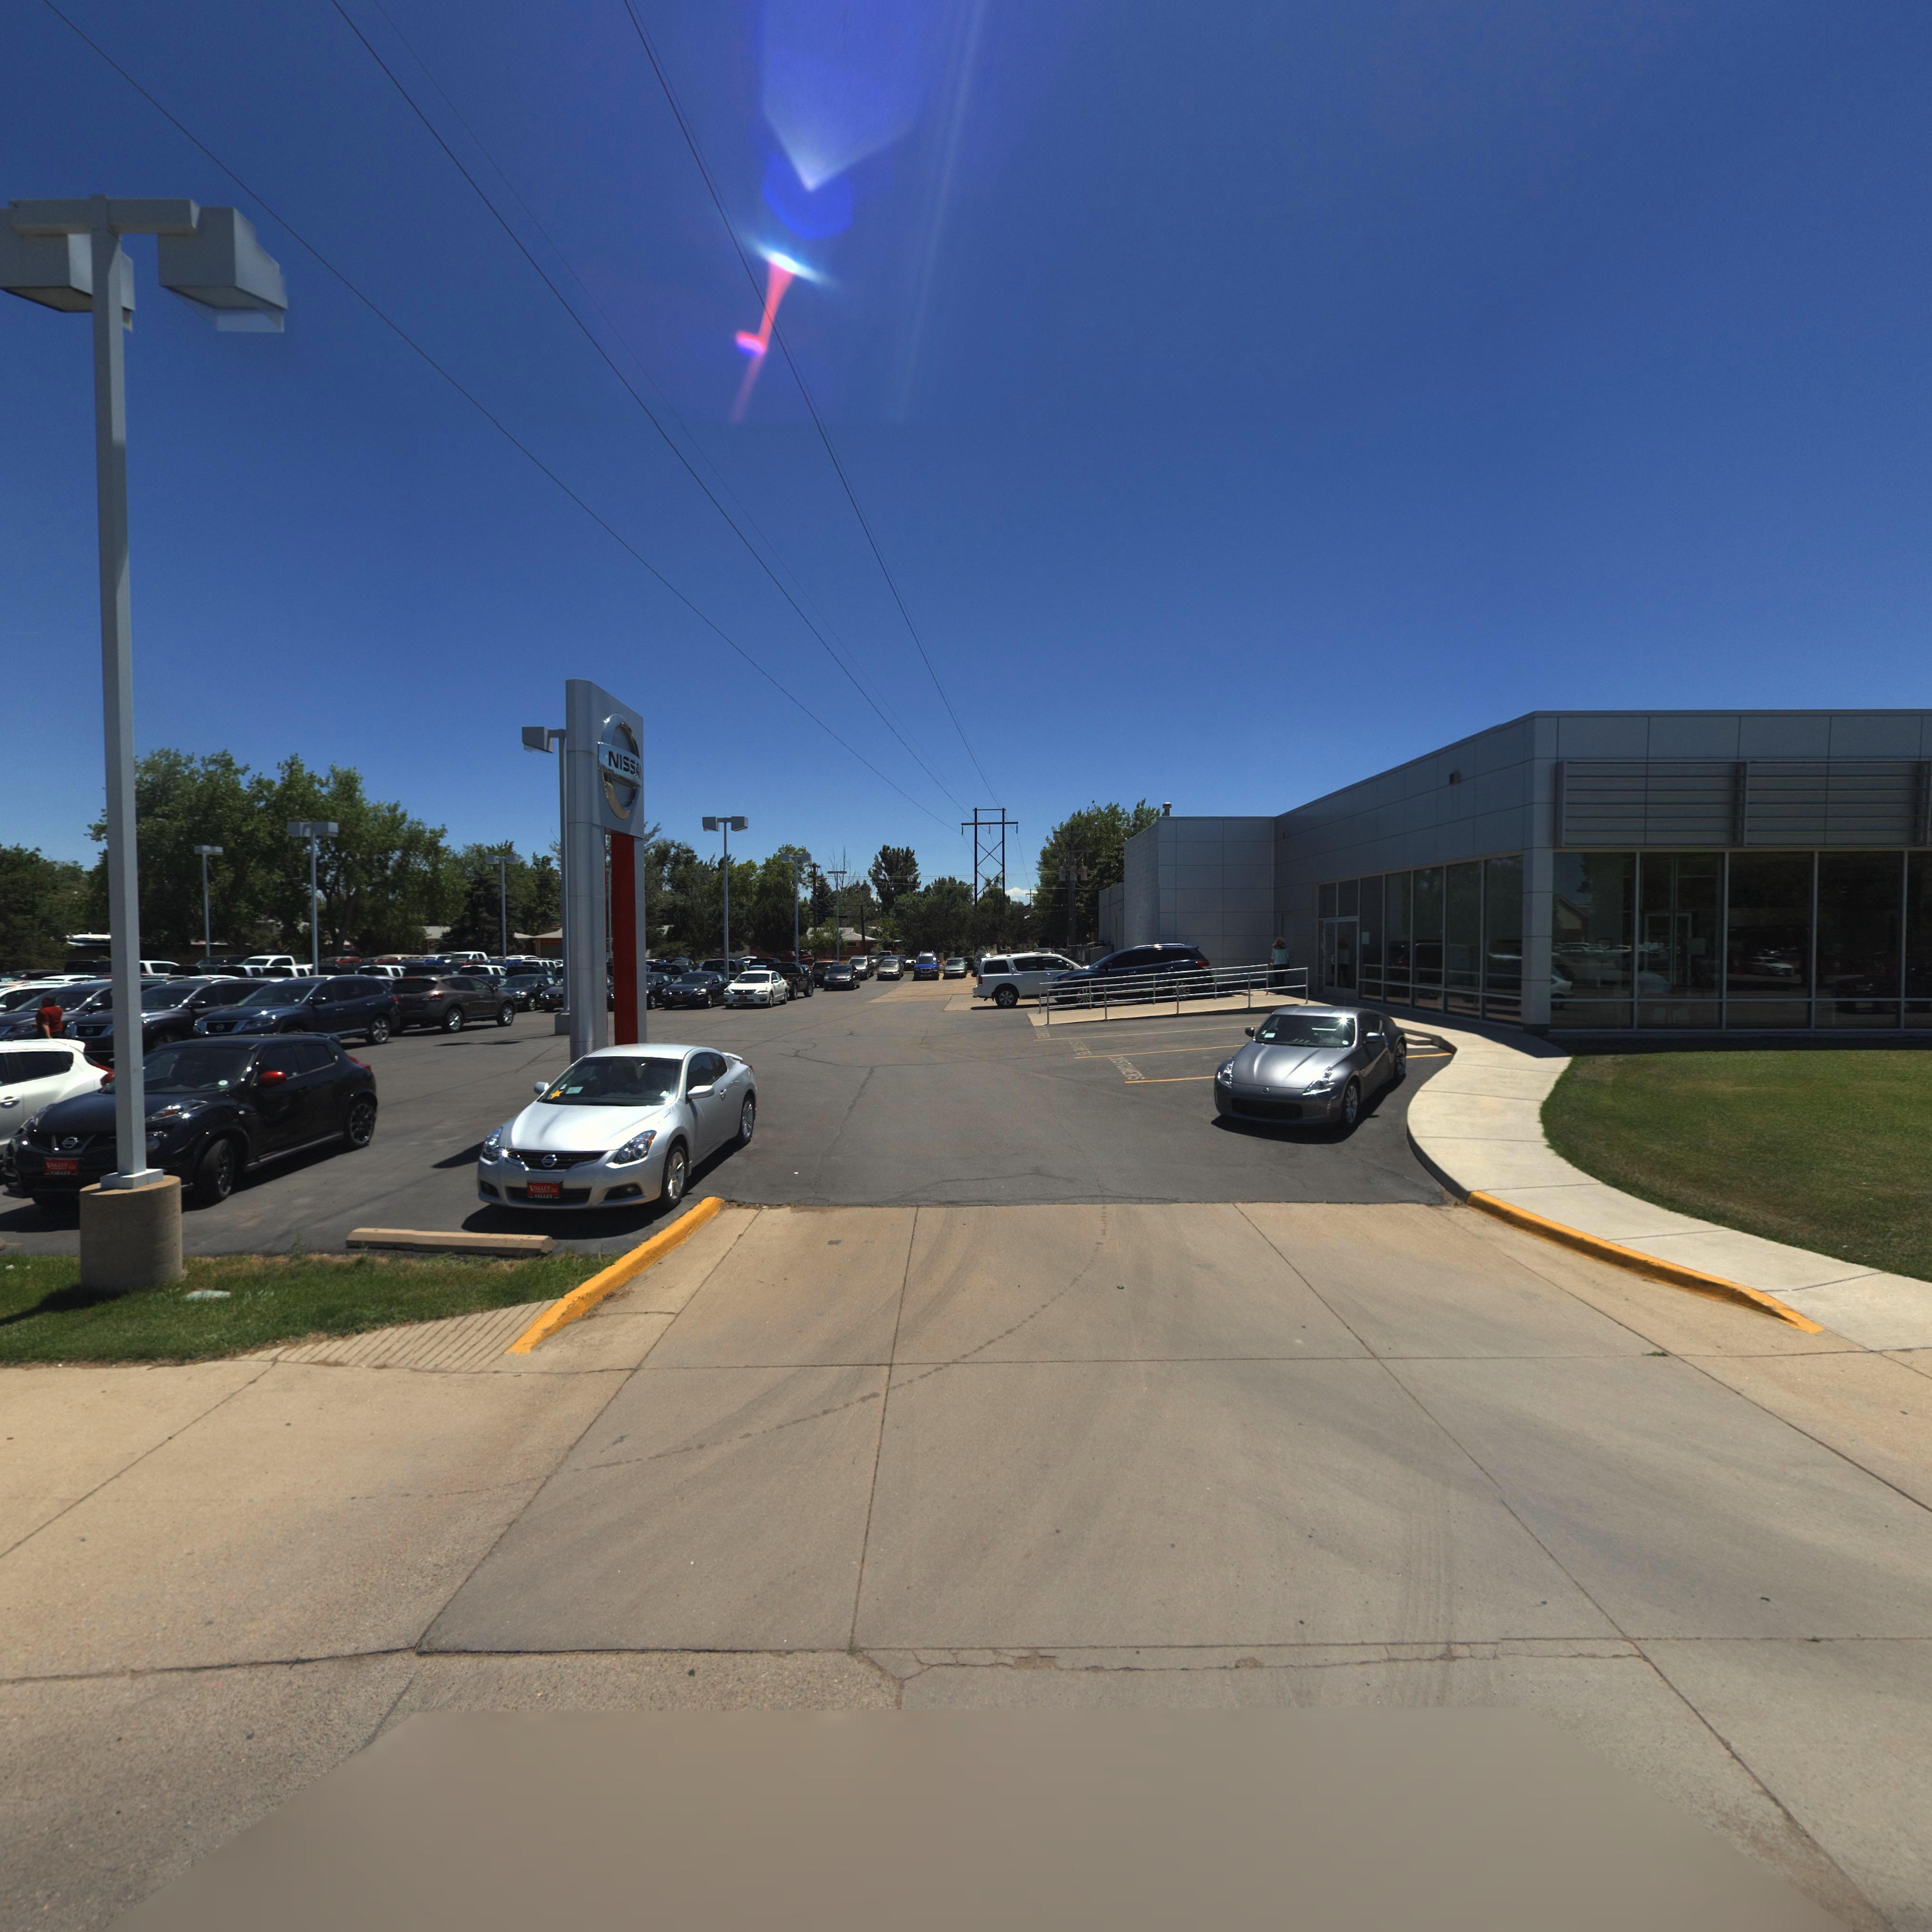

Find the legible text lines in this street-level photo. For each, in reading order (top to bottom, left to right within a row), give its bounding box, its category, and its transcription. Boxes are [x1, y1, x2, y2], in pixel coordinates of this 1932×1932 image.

[608, 749, 641, 781] BusinessName: NISSA